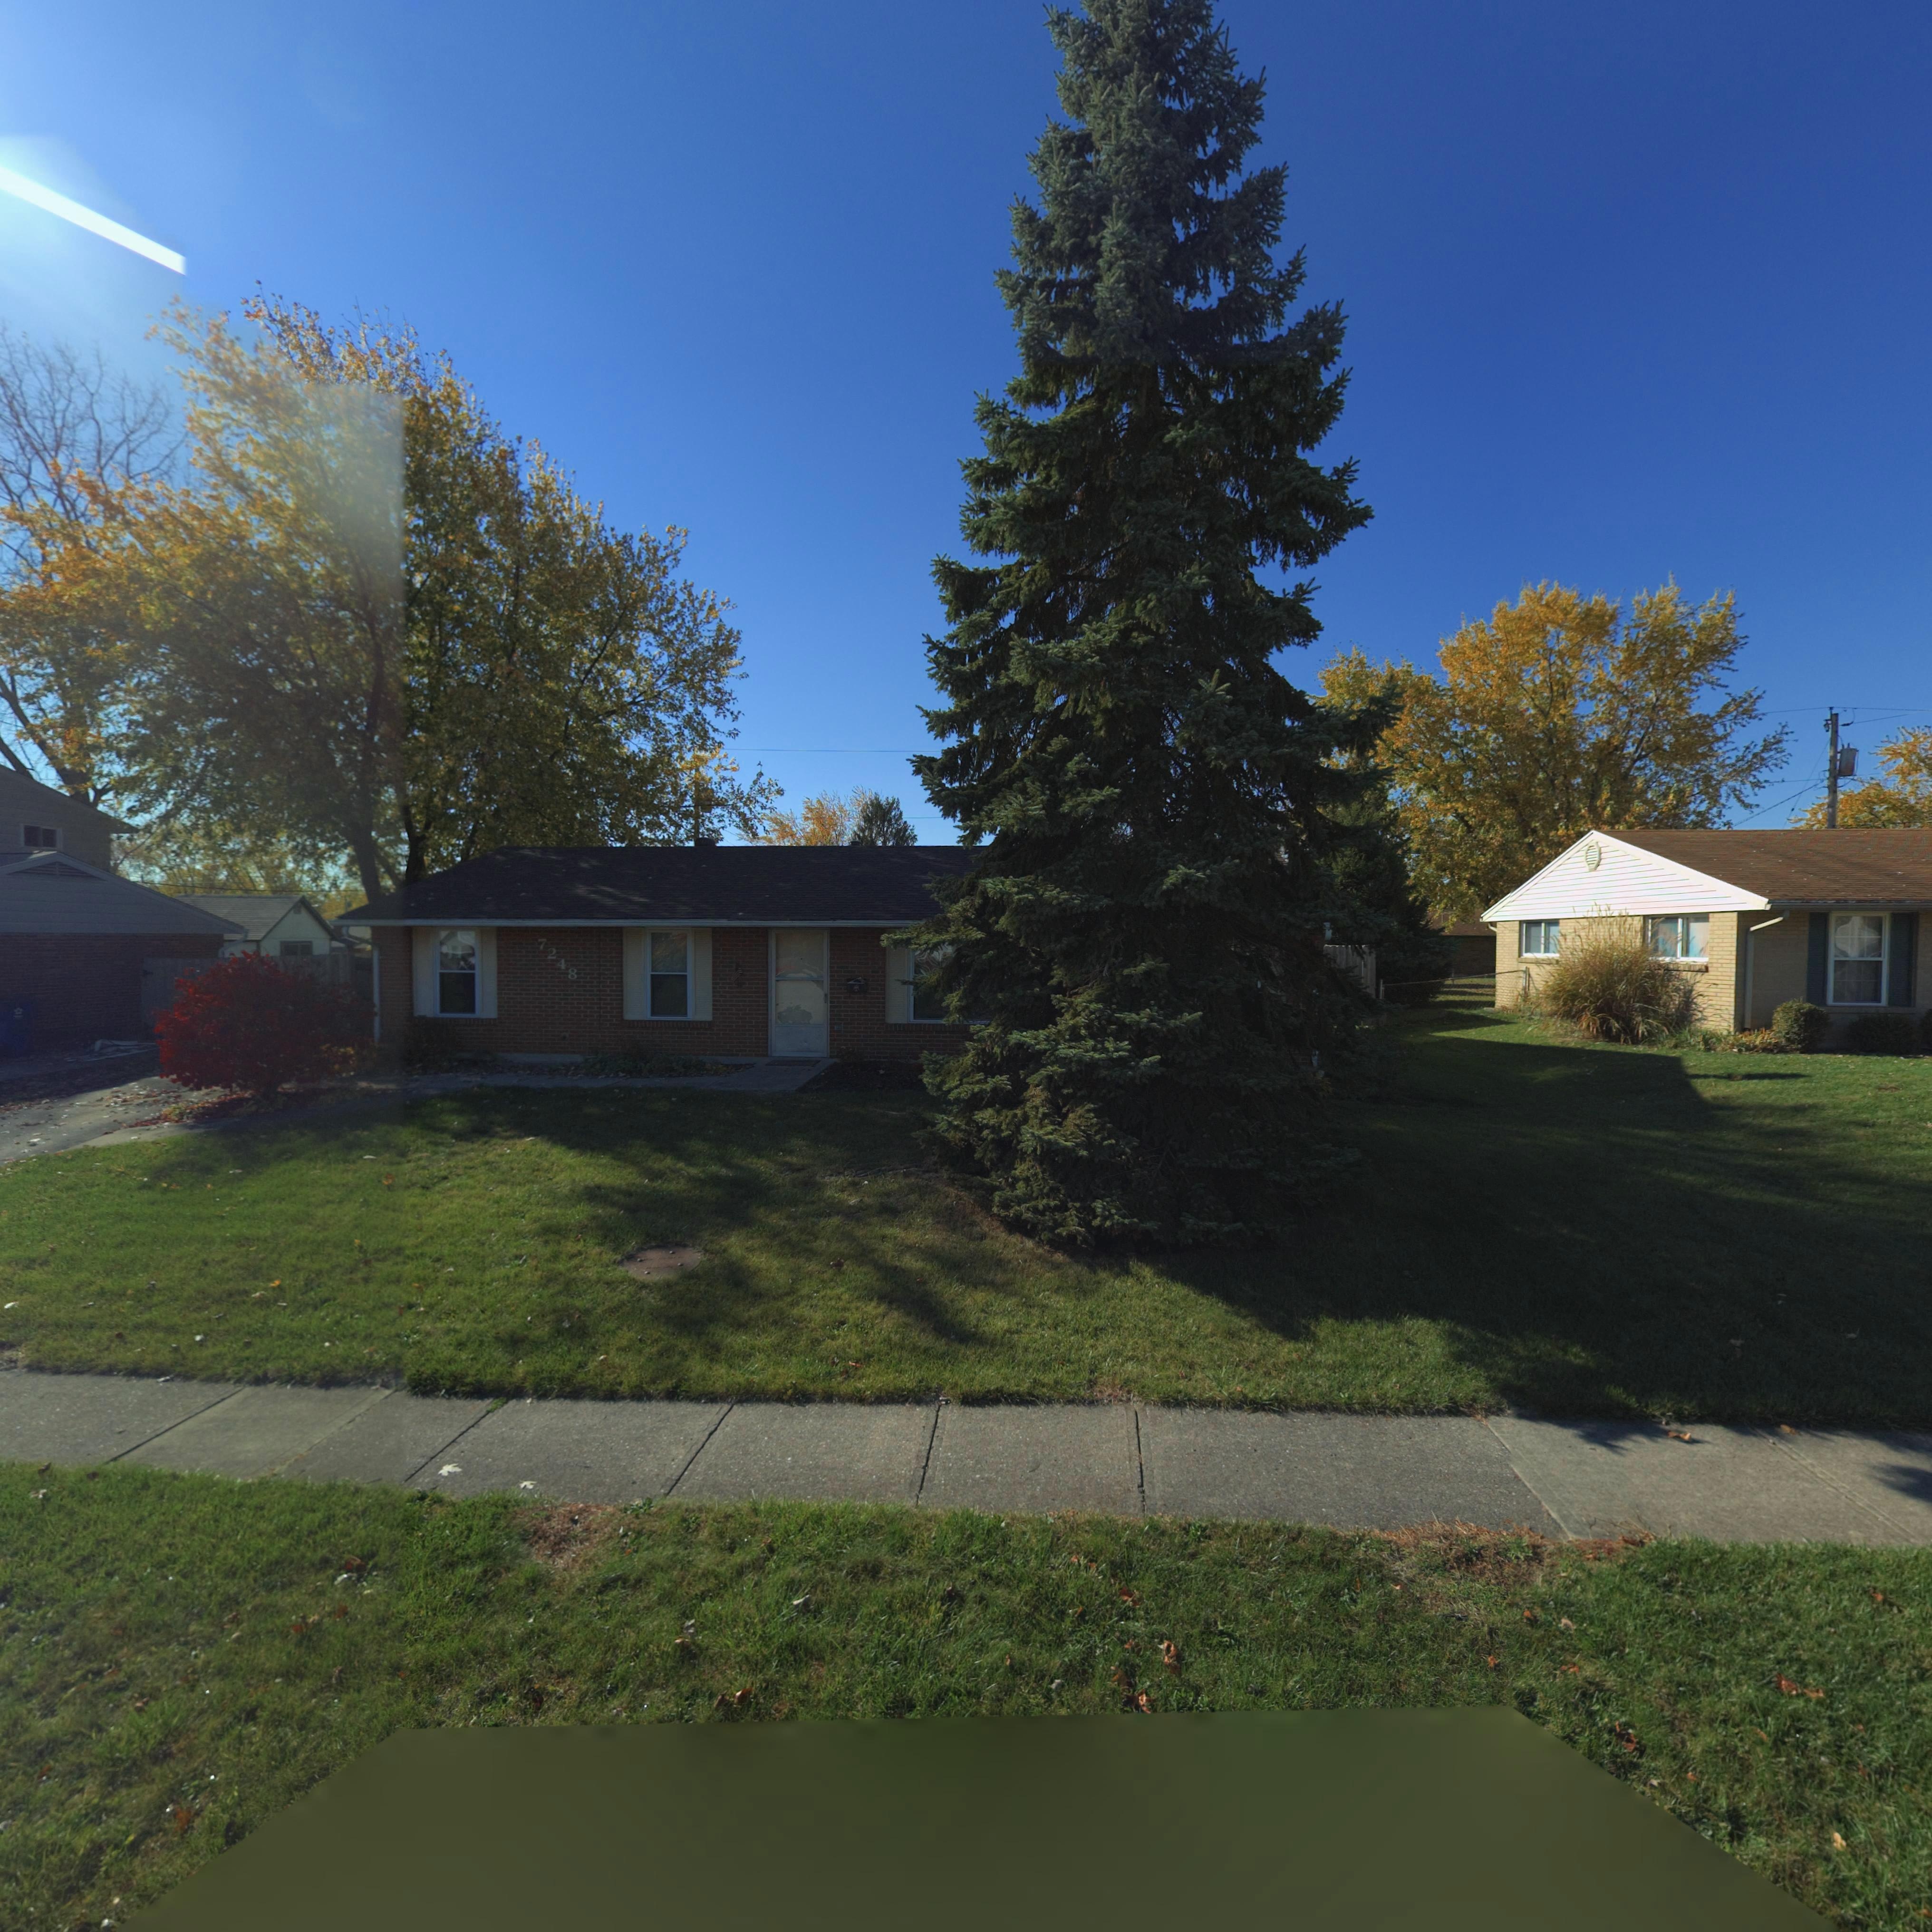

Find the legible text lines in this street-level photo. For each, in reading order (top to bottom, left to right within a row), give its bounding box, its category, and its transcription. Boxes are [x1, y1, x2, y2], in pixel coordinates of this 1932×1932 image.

[536, 937, 578, 982] StreetNumber: 7248